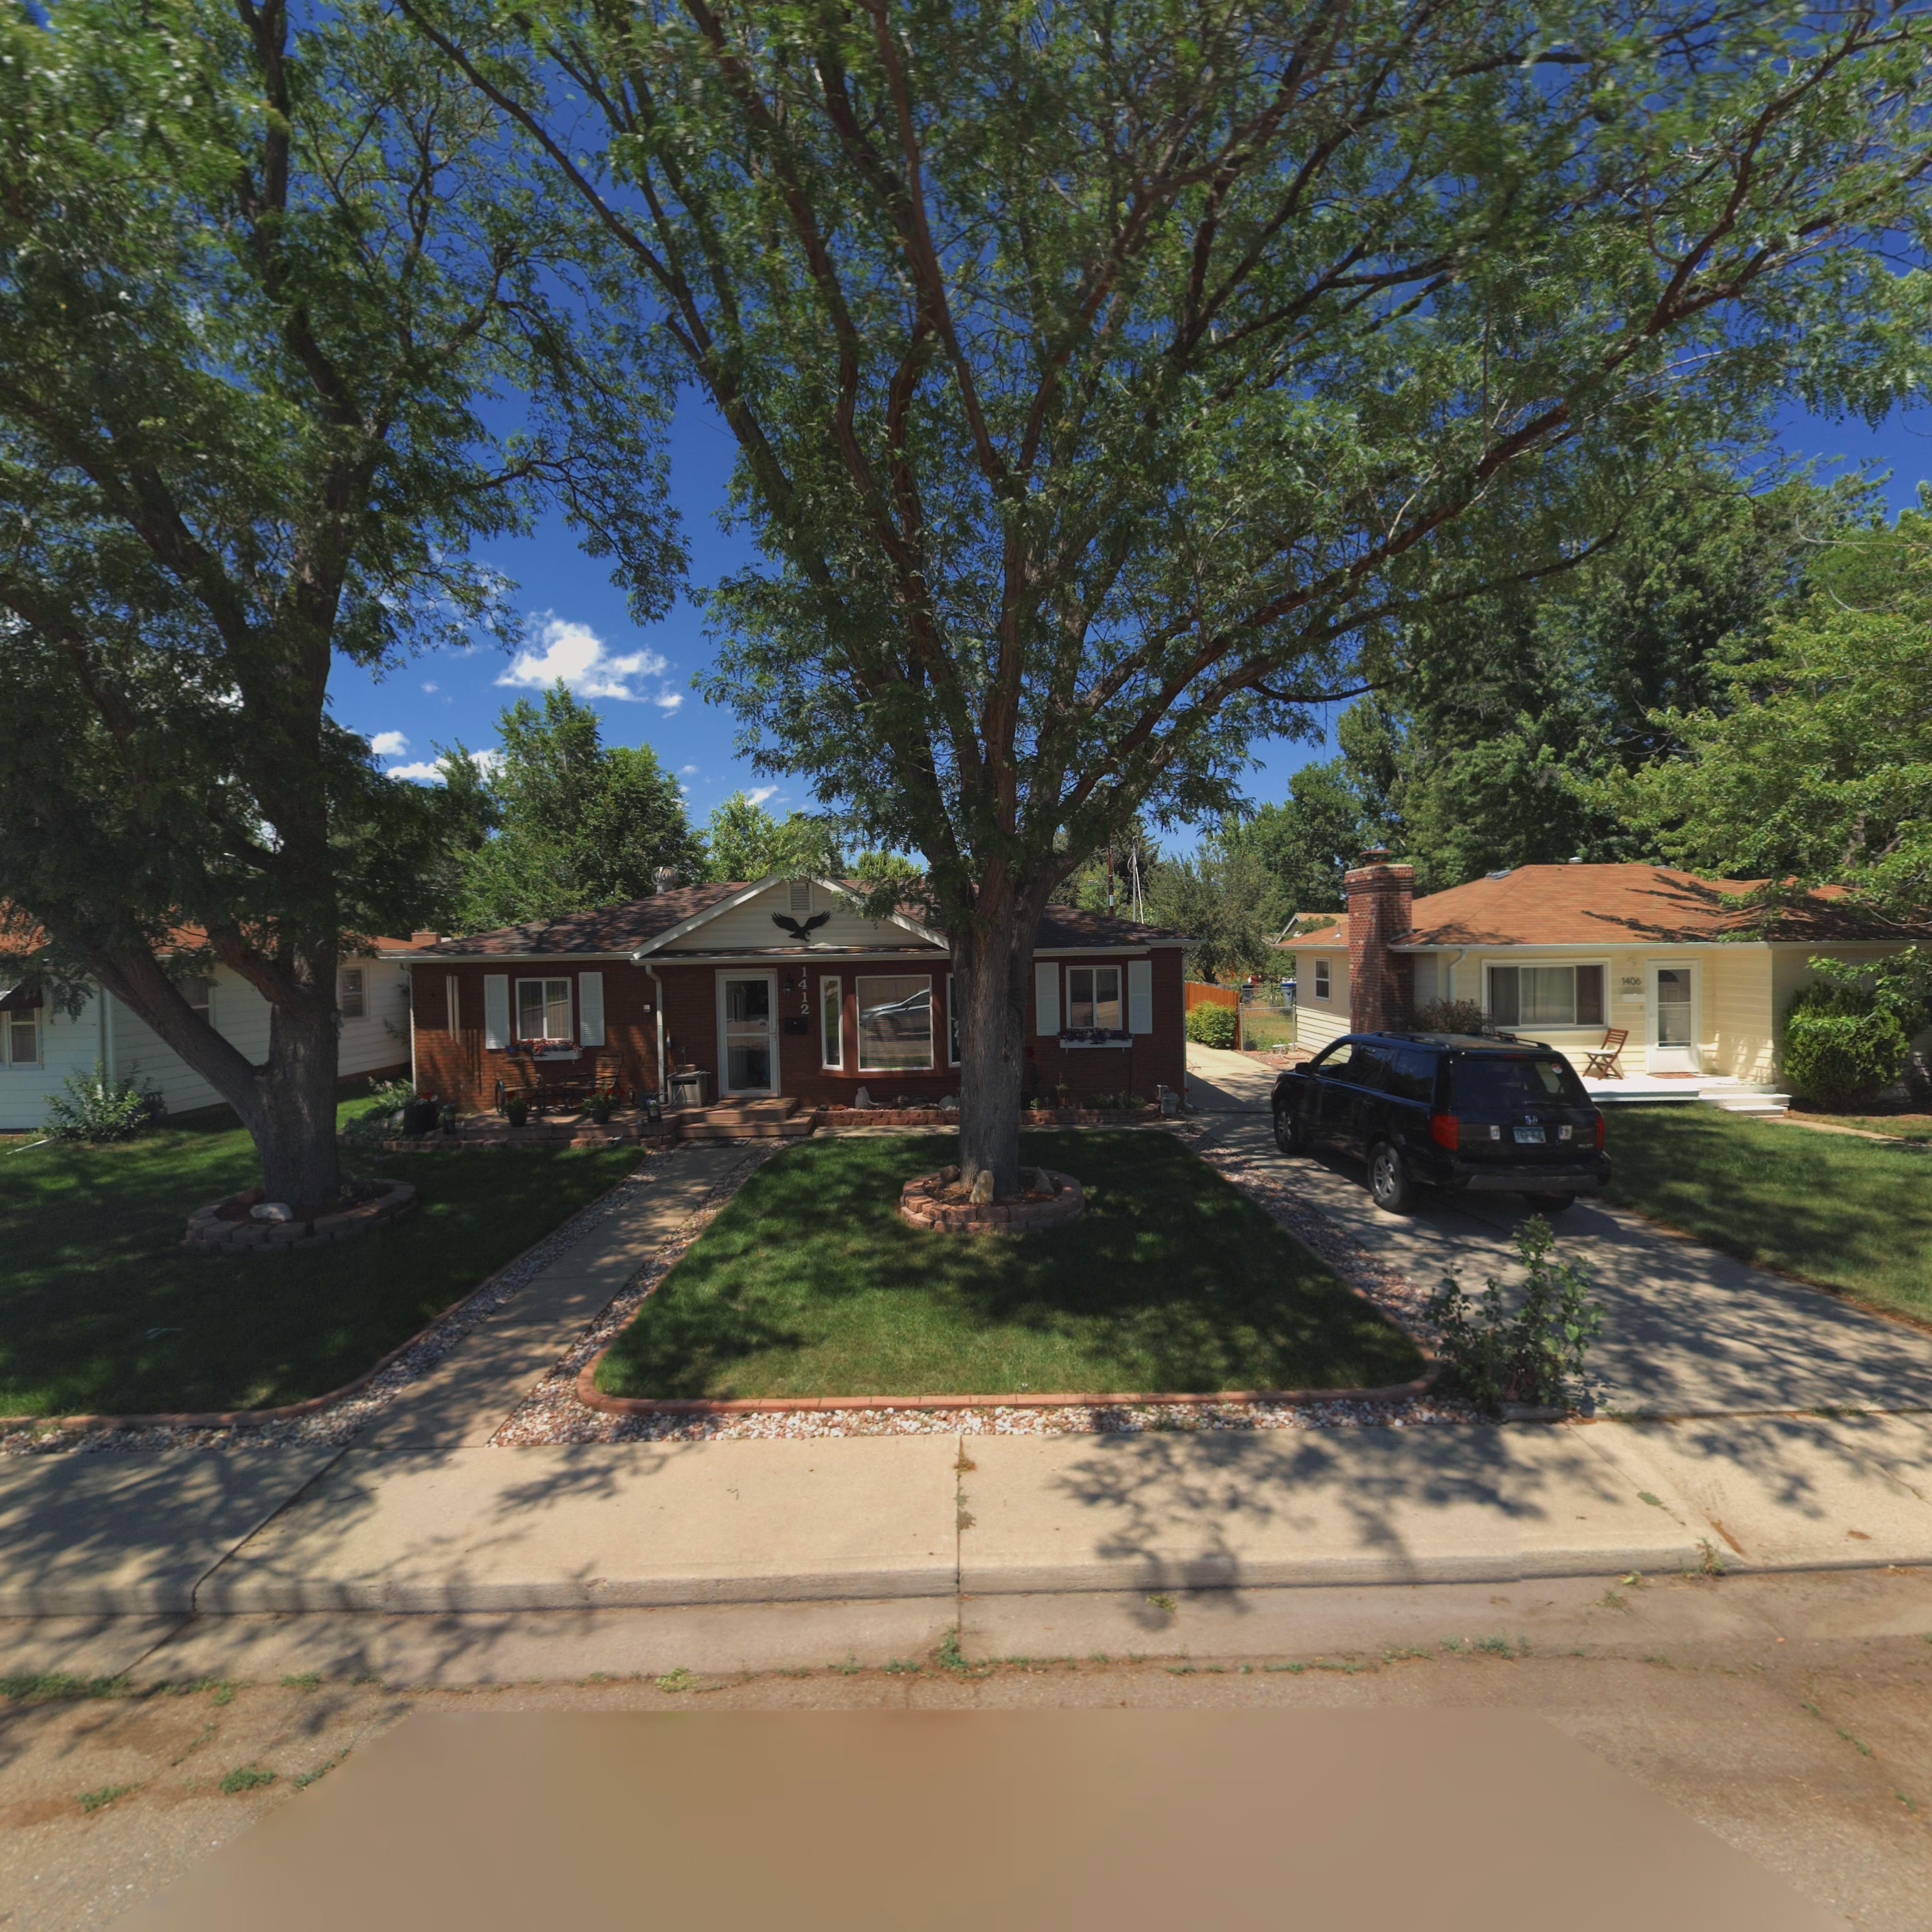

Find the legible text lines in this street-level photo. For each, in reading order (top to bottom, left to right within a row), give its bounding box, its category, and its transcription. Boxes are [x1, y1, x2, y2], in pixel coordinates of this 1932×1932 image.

[798, 966, 810, 1014] StreetNumber: 1412
[1622, 976, 1641, 985] StreetNumber: 1406